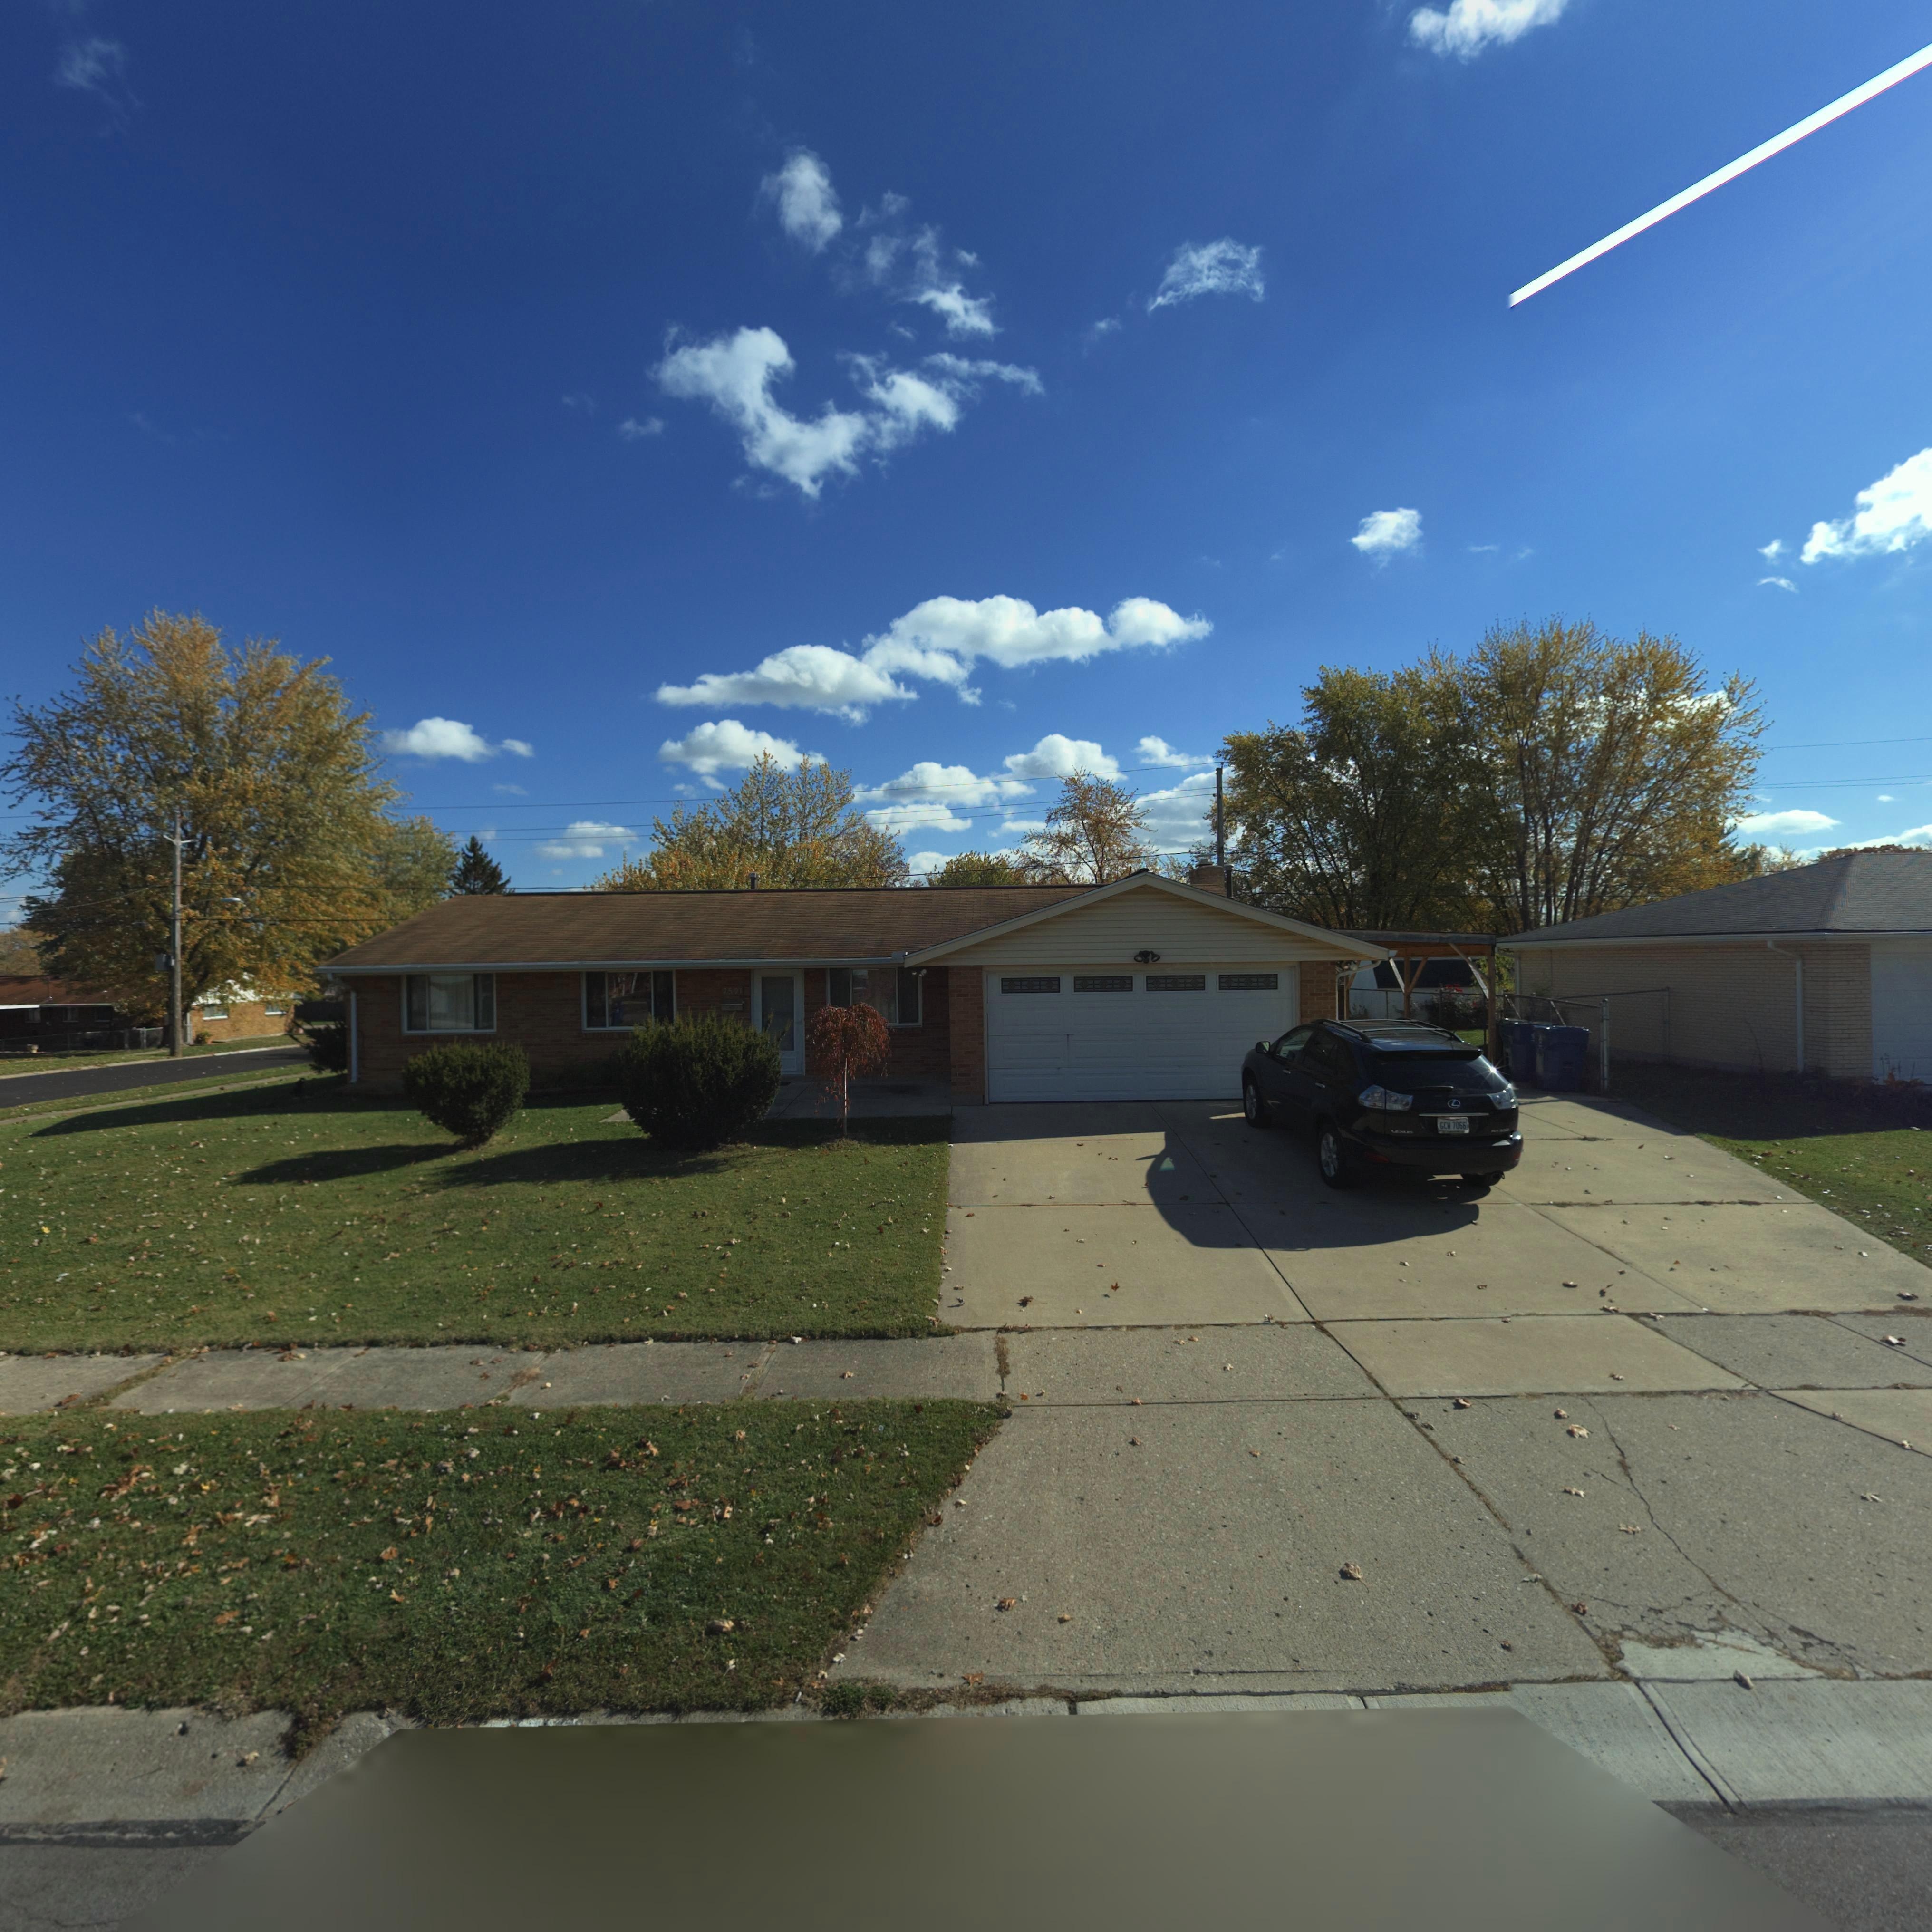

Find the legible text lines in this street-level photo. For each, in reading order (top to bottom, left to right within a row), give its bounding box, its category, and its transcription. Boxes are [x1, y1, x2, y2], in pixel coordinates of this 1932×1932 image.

[722, 987, 743, 995] StreetNumber: 7591